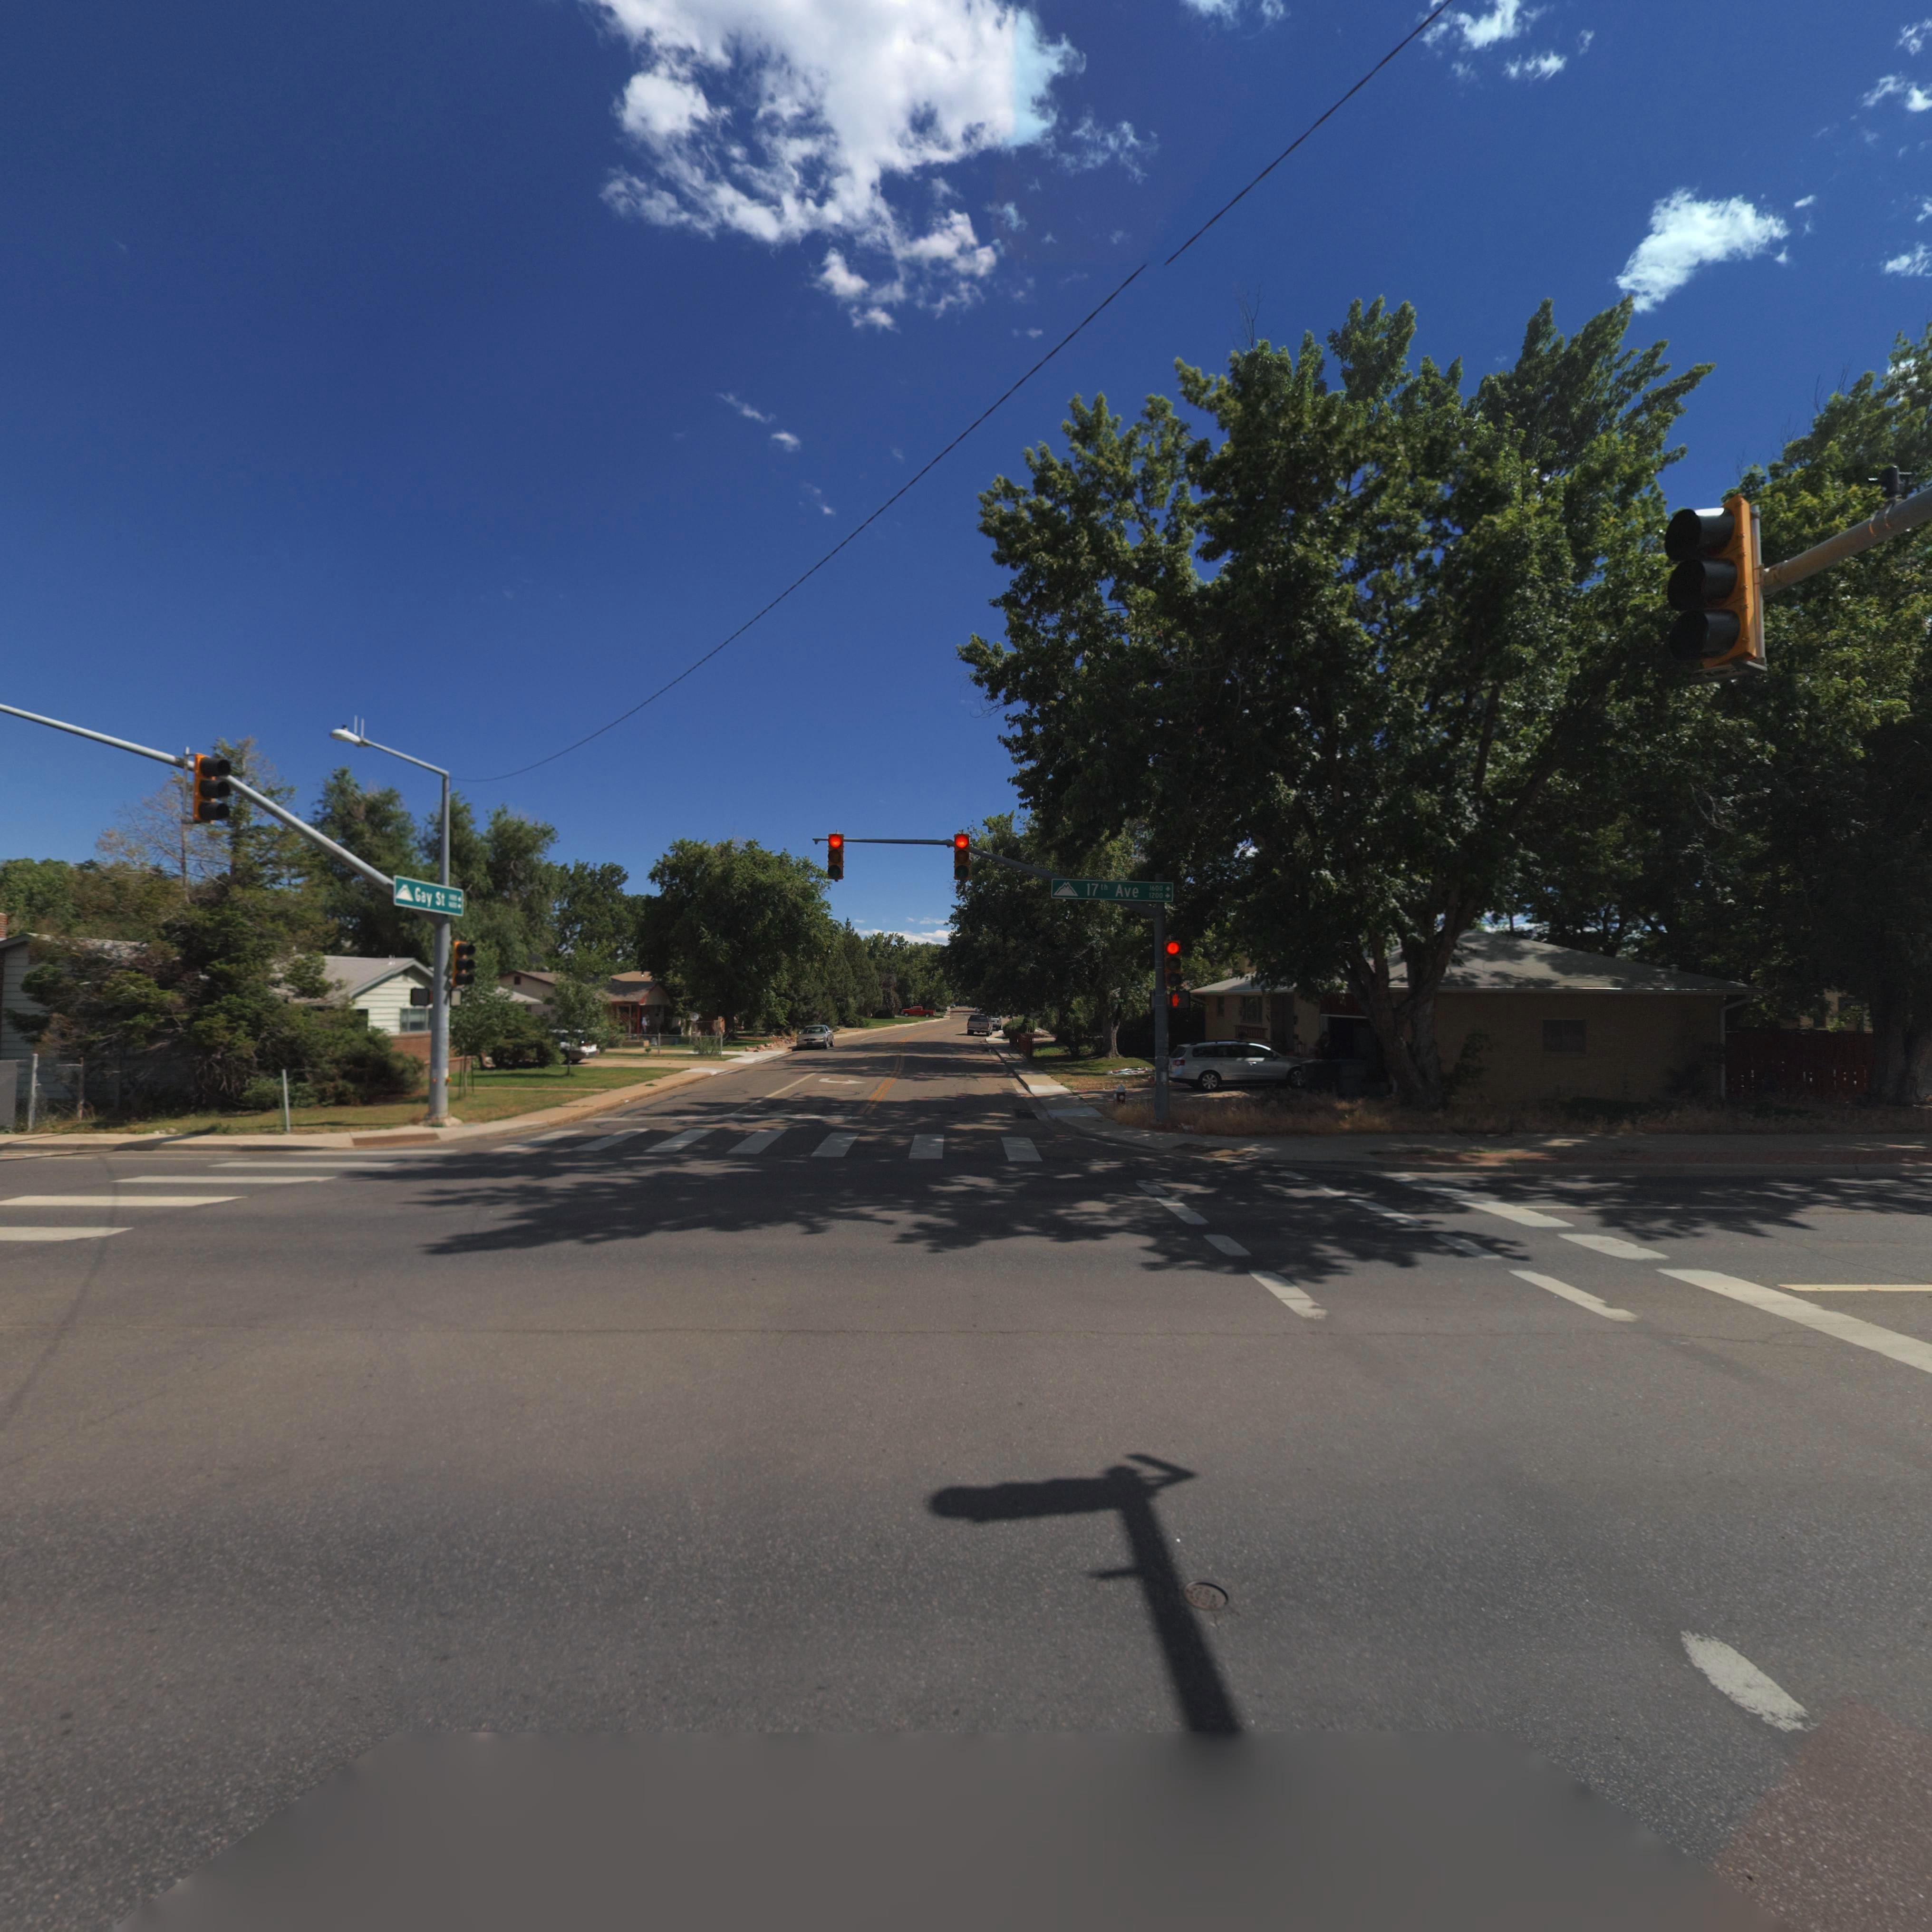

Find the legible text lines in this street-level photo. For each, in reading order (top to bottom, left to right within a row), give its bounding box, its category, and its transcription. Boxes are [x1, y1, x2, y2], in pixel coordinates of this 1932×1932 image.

[1086, 882, 1139, 898] StreetName: 17th Ave
[1149, 885, 1163, 891] StreetNumberRange: 1600
[414, 886, 445, 908] StreetName: Gay St
[448, 893, 457, 901] StreetNumberRange: 1100
[1149, 892, 1170, 898] StreetNumberRange: 1200 ->
[448, 900, 462, 909] StreetNumberRange: 1600 ->